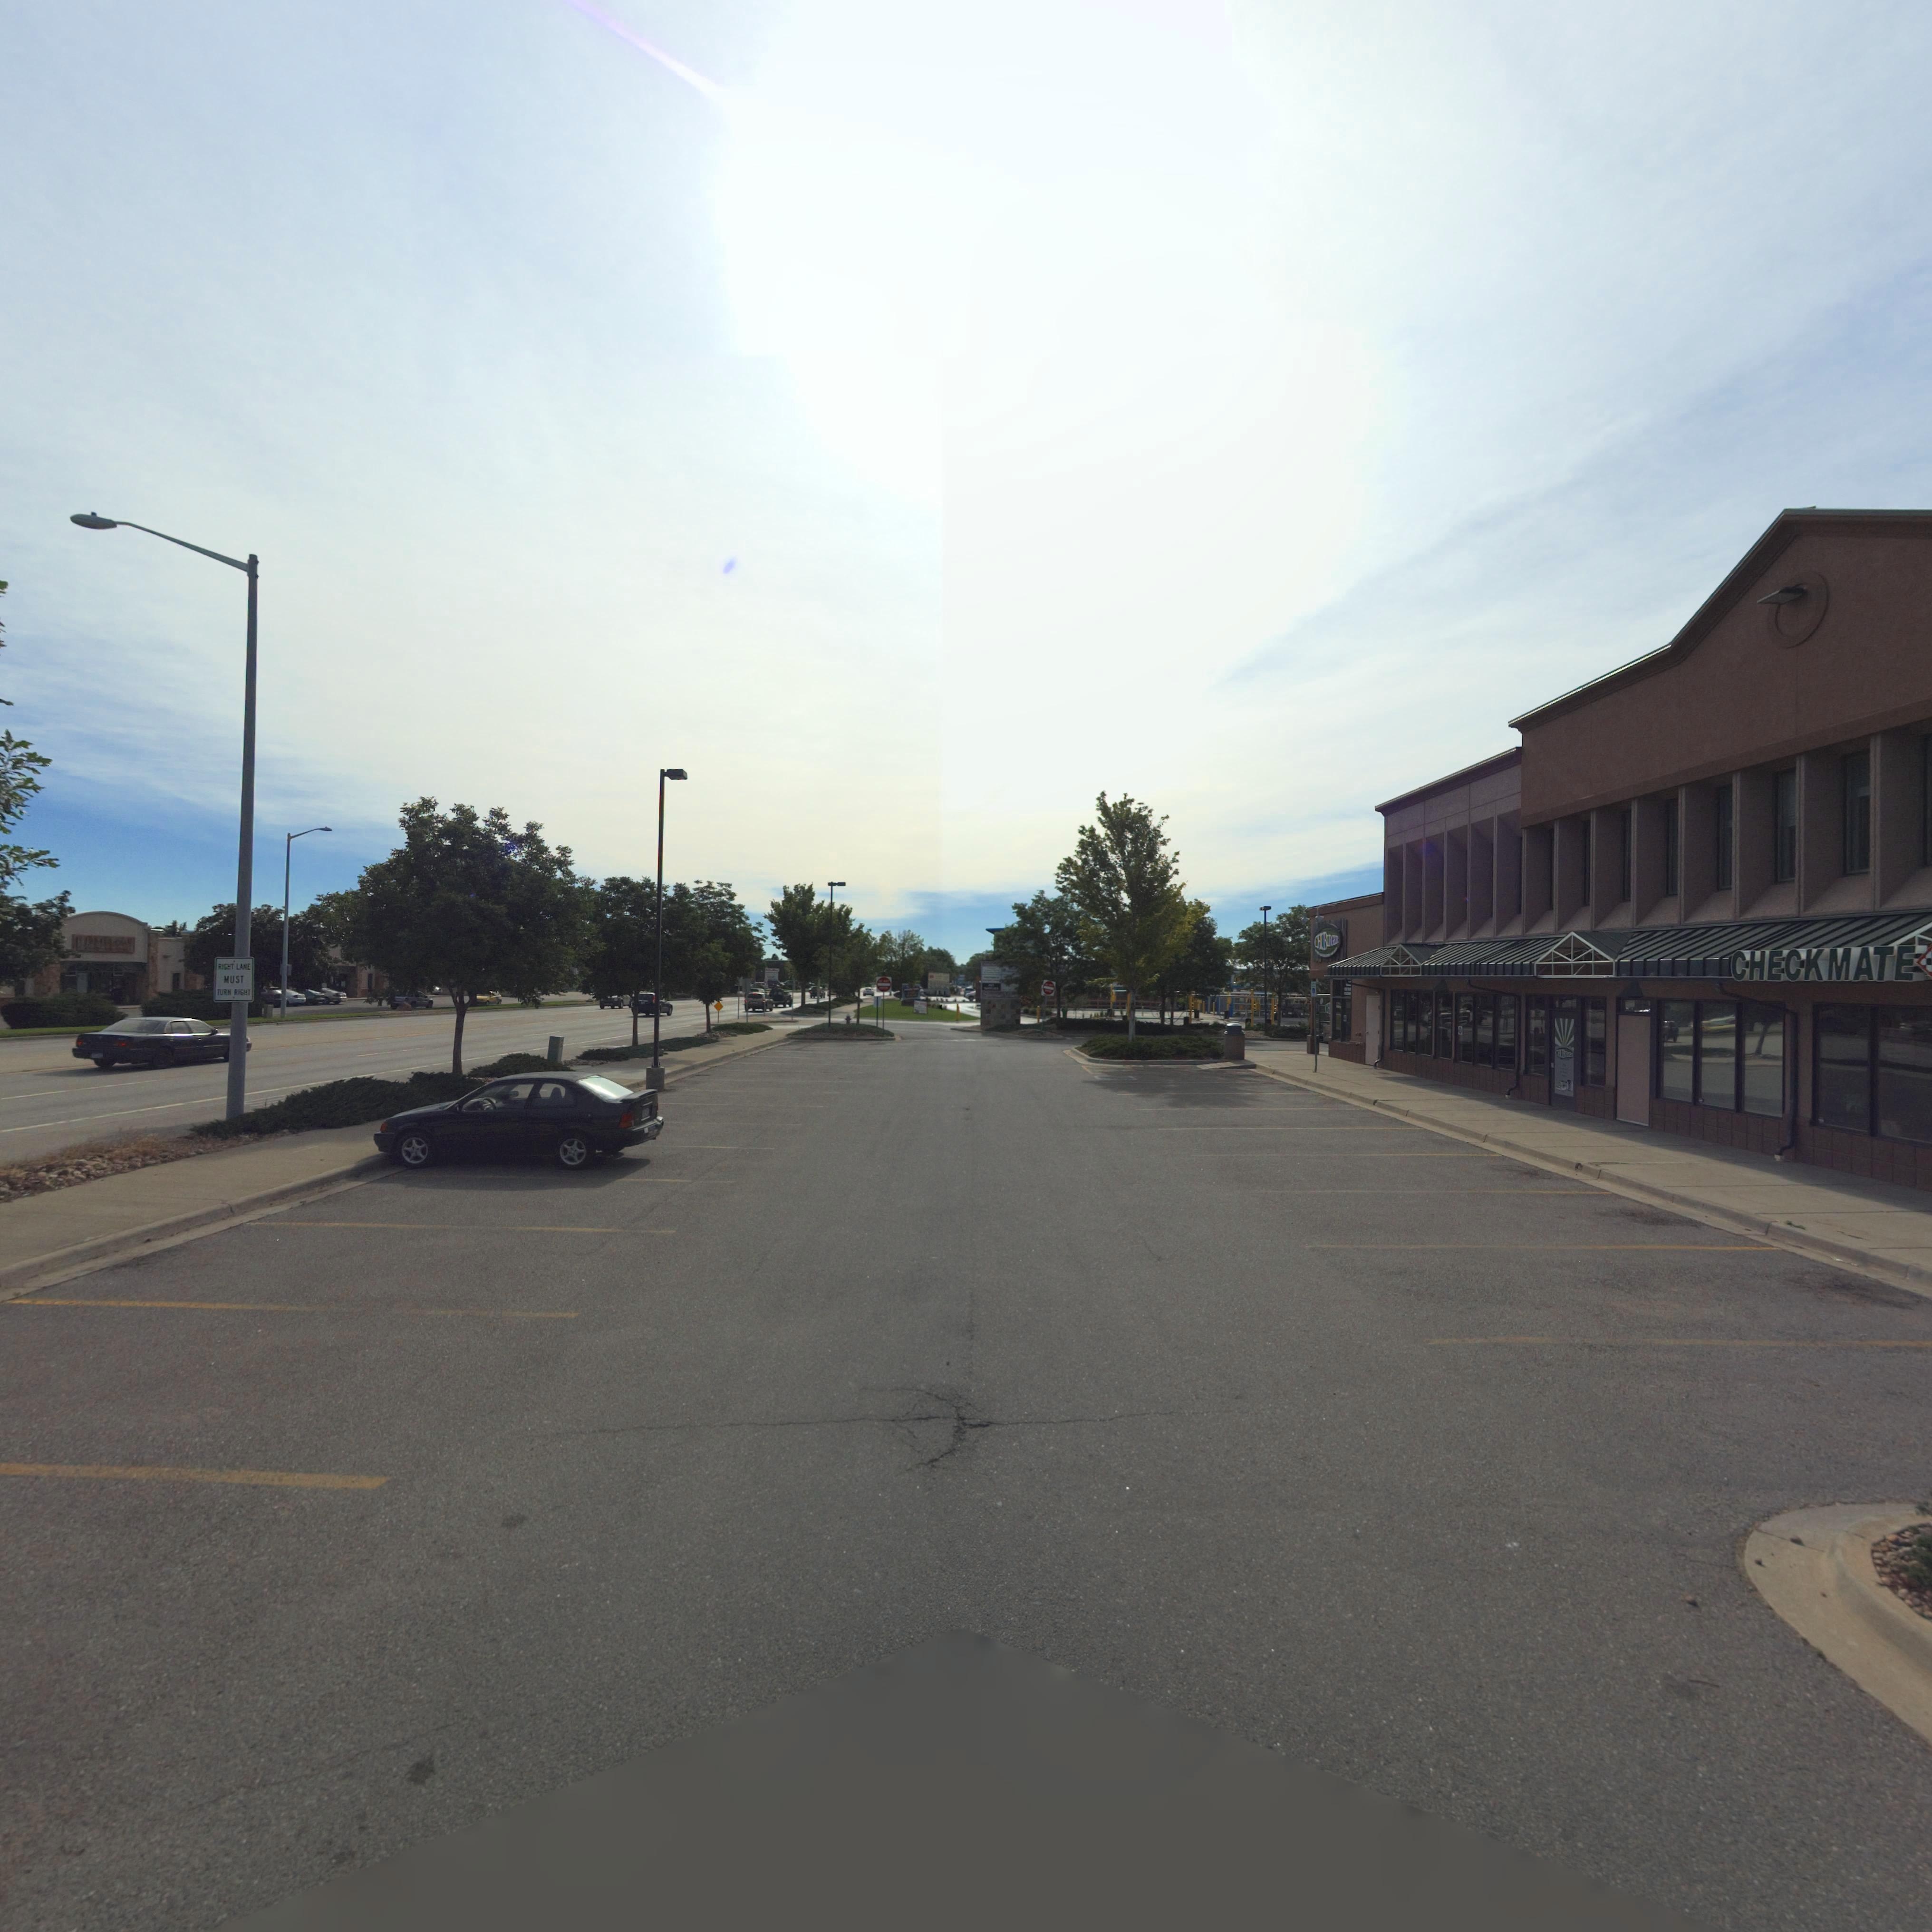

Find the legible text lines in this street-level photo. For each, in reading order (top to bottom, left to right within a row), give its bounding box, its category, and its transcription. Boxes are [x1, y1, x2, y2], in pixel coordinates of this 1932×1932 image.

[1314, 931, 1340, 950] BusinessName: CHUB*****
[1731, 945, 1917, 981] BusinessName: CHECKMATE
[1555, 1048, 1573, 1058] BusinessName: CHU******